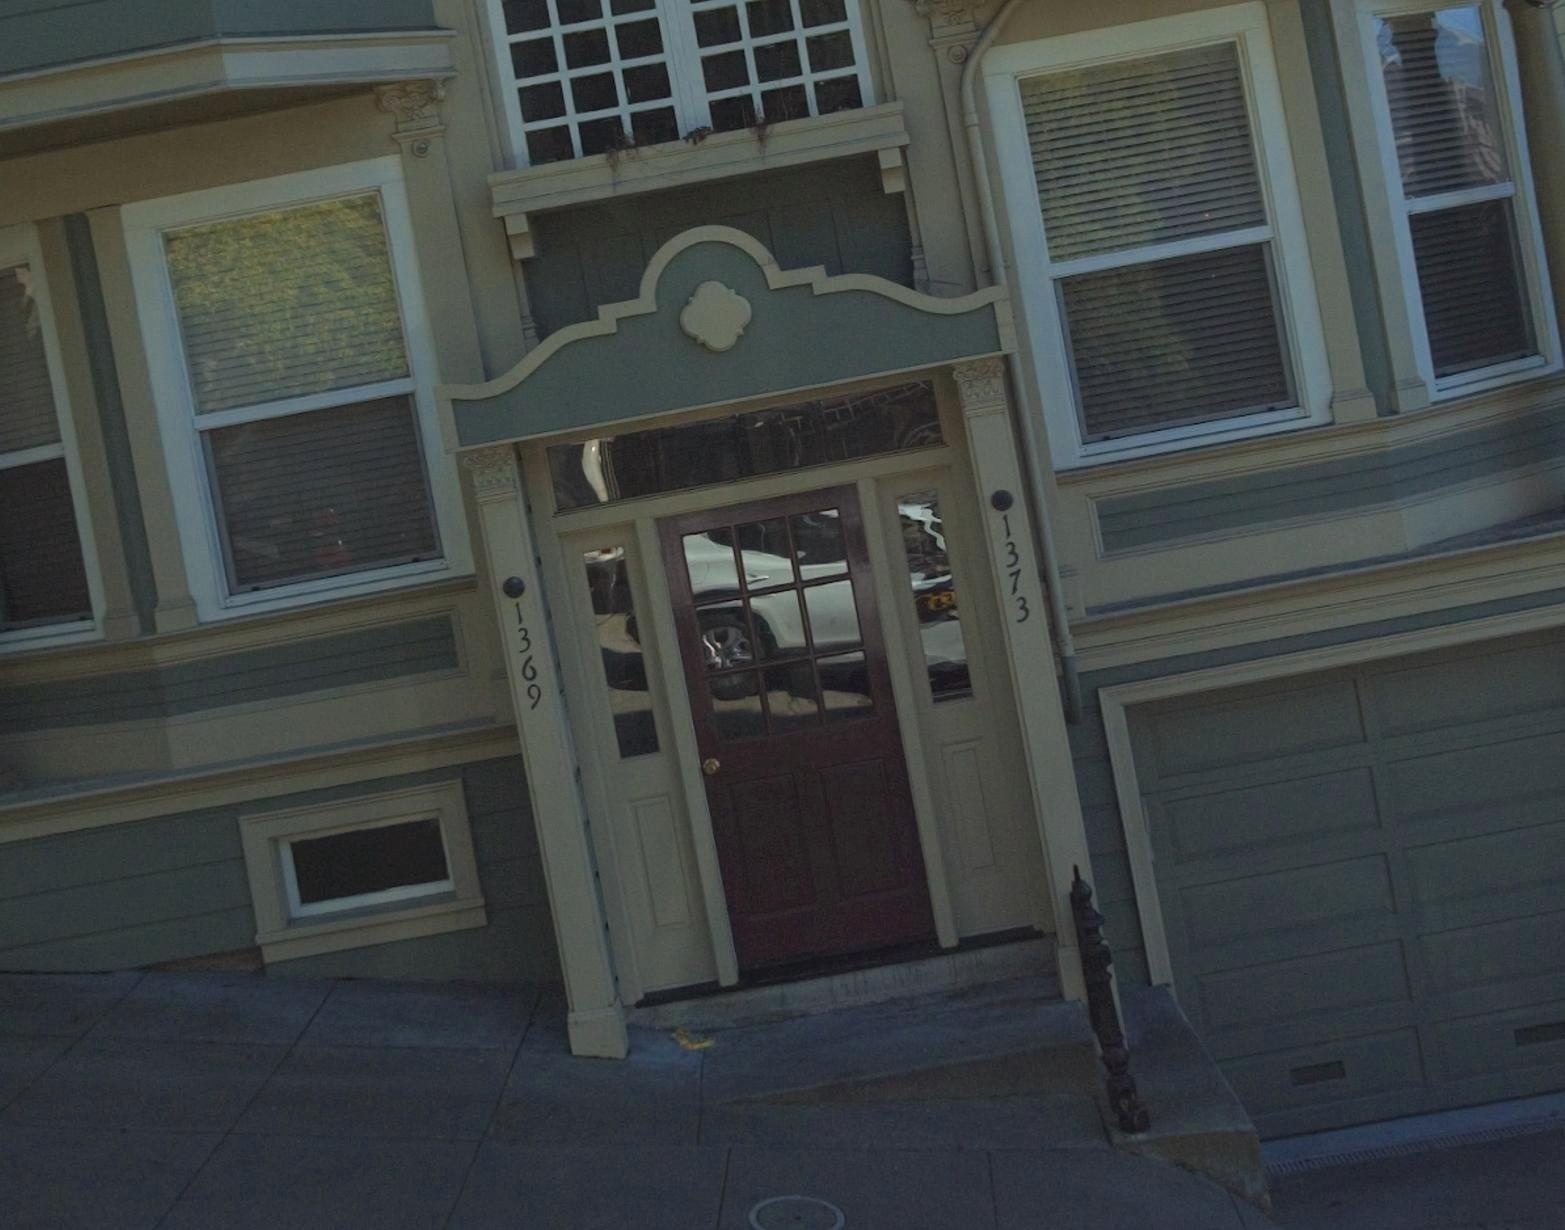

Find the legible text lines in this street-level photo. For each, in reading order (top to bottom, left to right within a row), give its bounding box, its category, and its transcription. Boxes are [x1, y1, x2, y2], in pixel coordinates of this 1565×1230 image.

[995, 510, 1034, 629] StreetNumber: 1373
[507, 597, 547, 715] StreetNumber: 1369